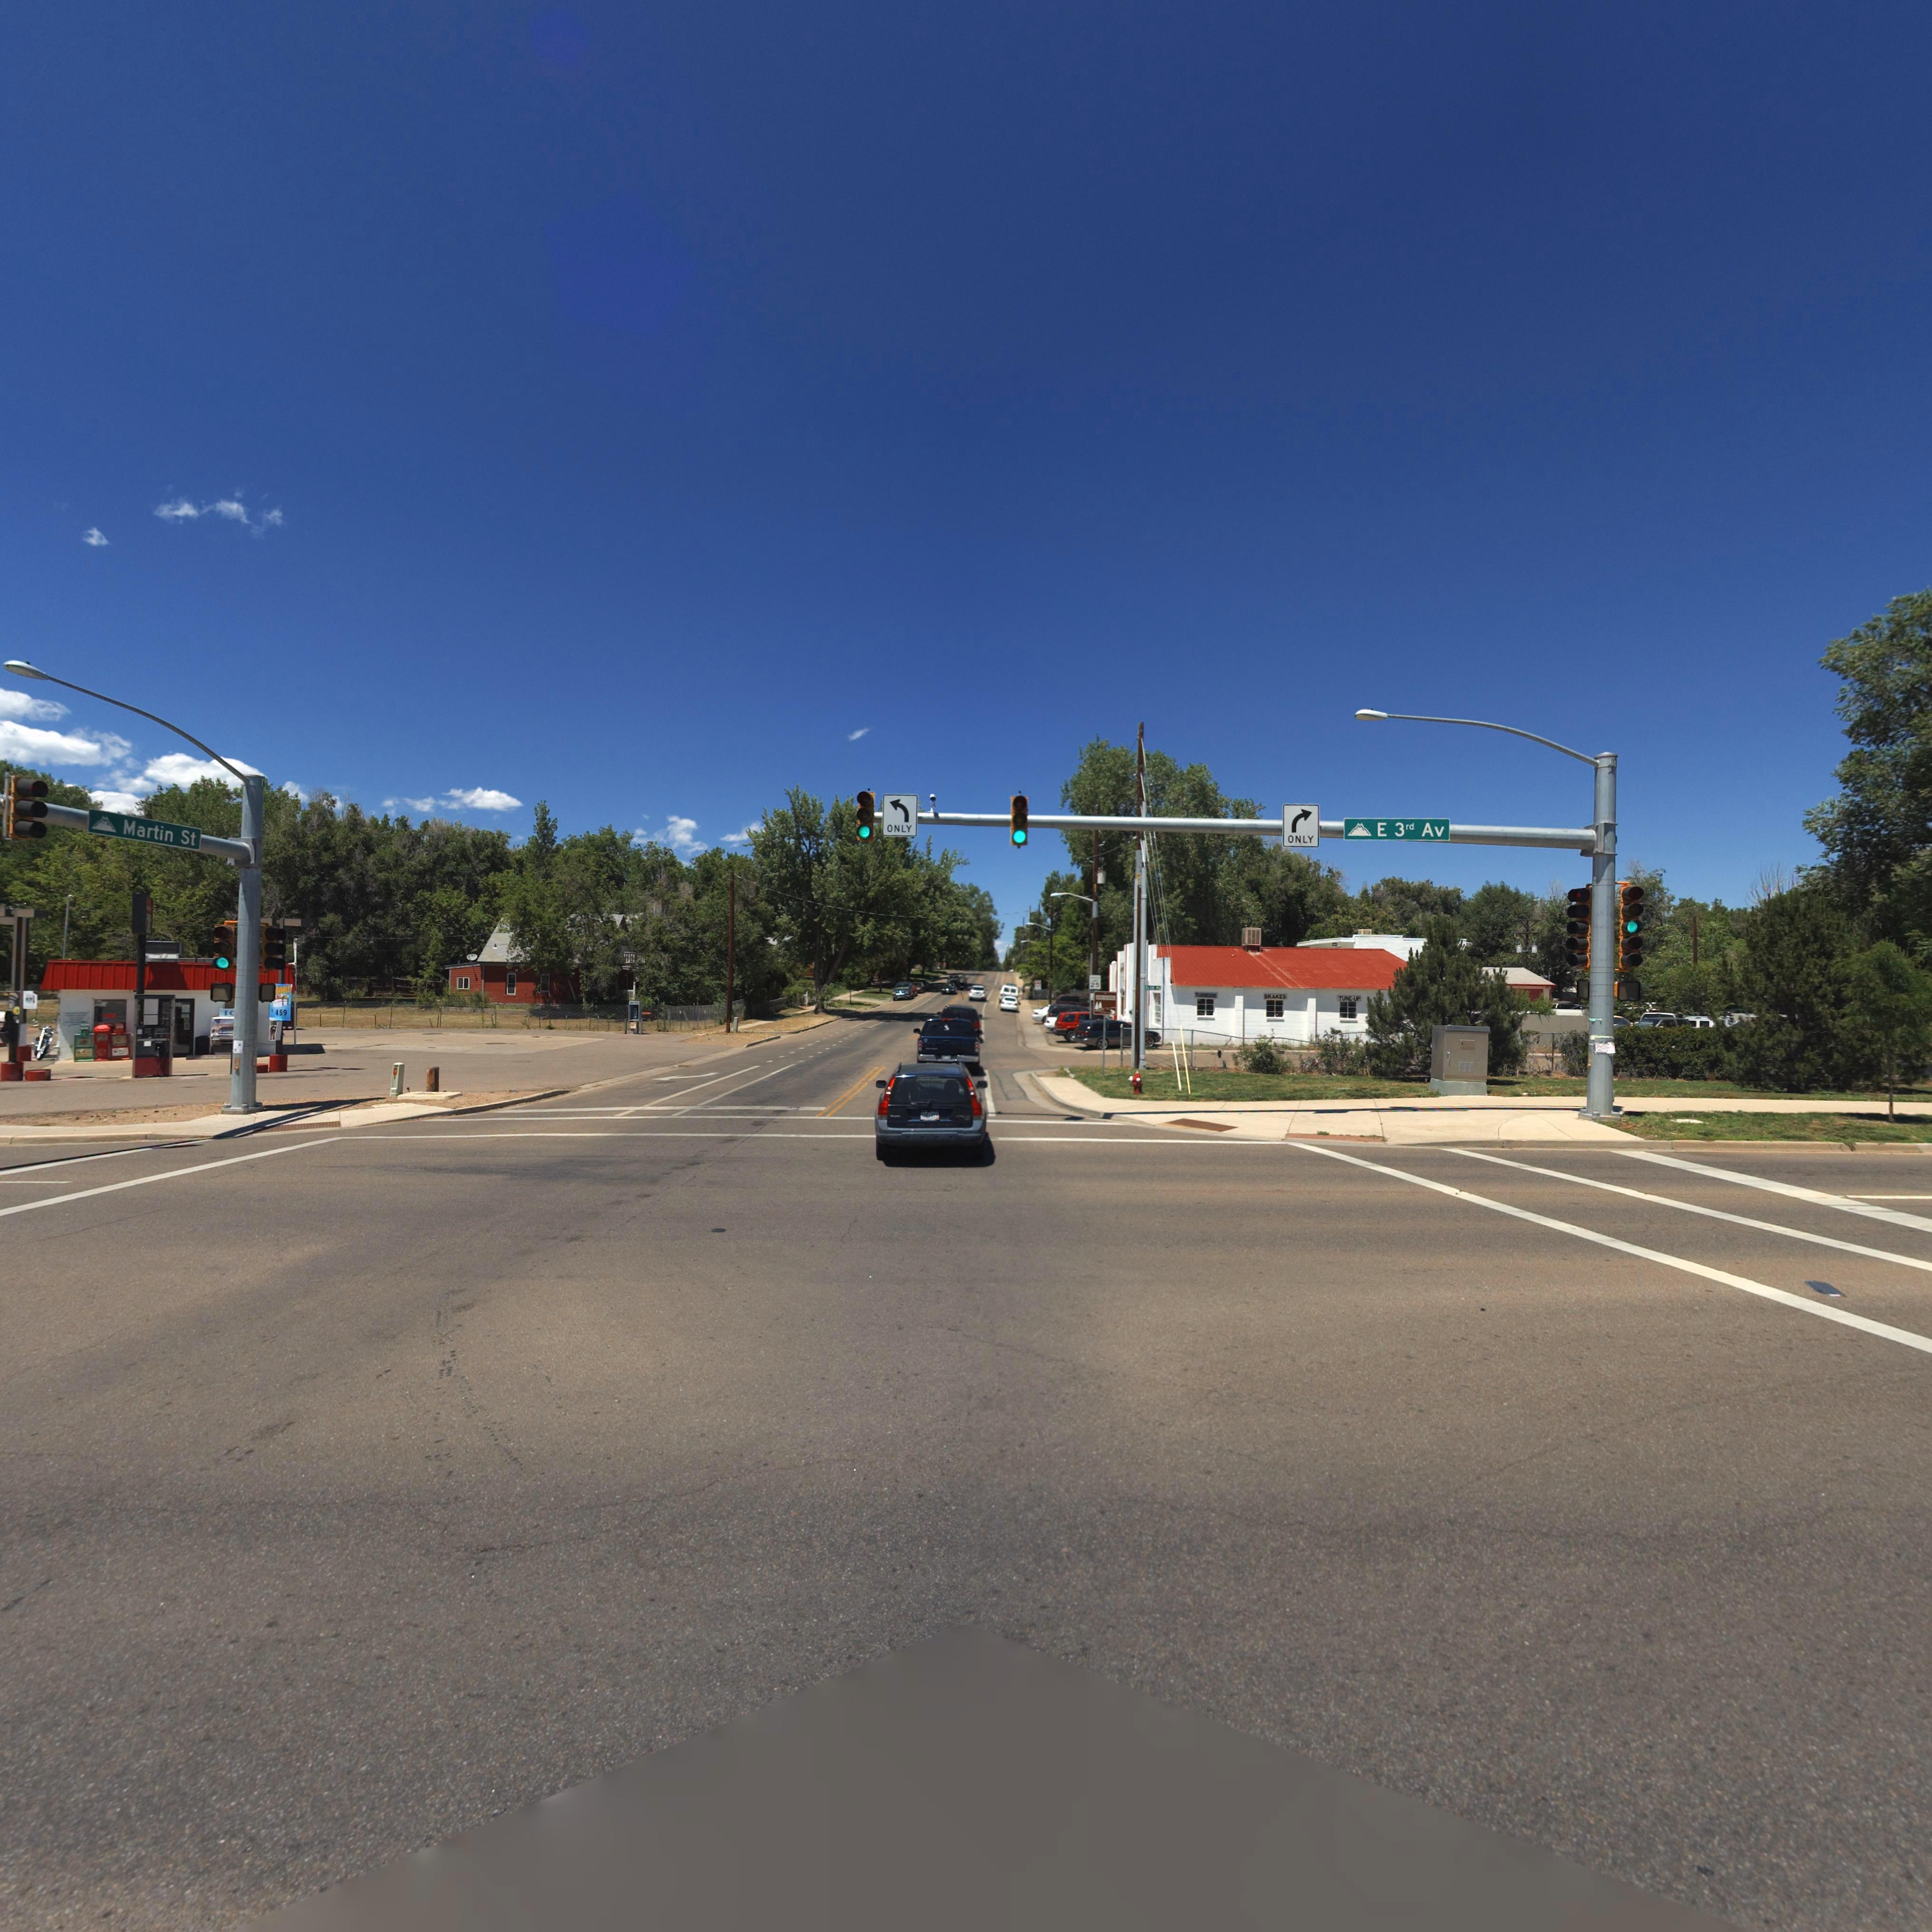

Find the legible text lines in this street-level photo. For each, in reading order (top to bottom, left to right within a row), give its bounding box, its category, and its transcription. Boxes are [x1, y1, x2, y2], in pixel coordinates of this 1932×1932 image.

[123, 818, 196, 846] StreetName: Martin St
[1377, 821, 1445, 837] StreetName: E 3rd Av
[1149, 985, 1161, 990] StreetName: C* PL